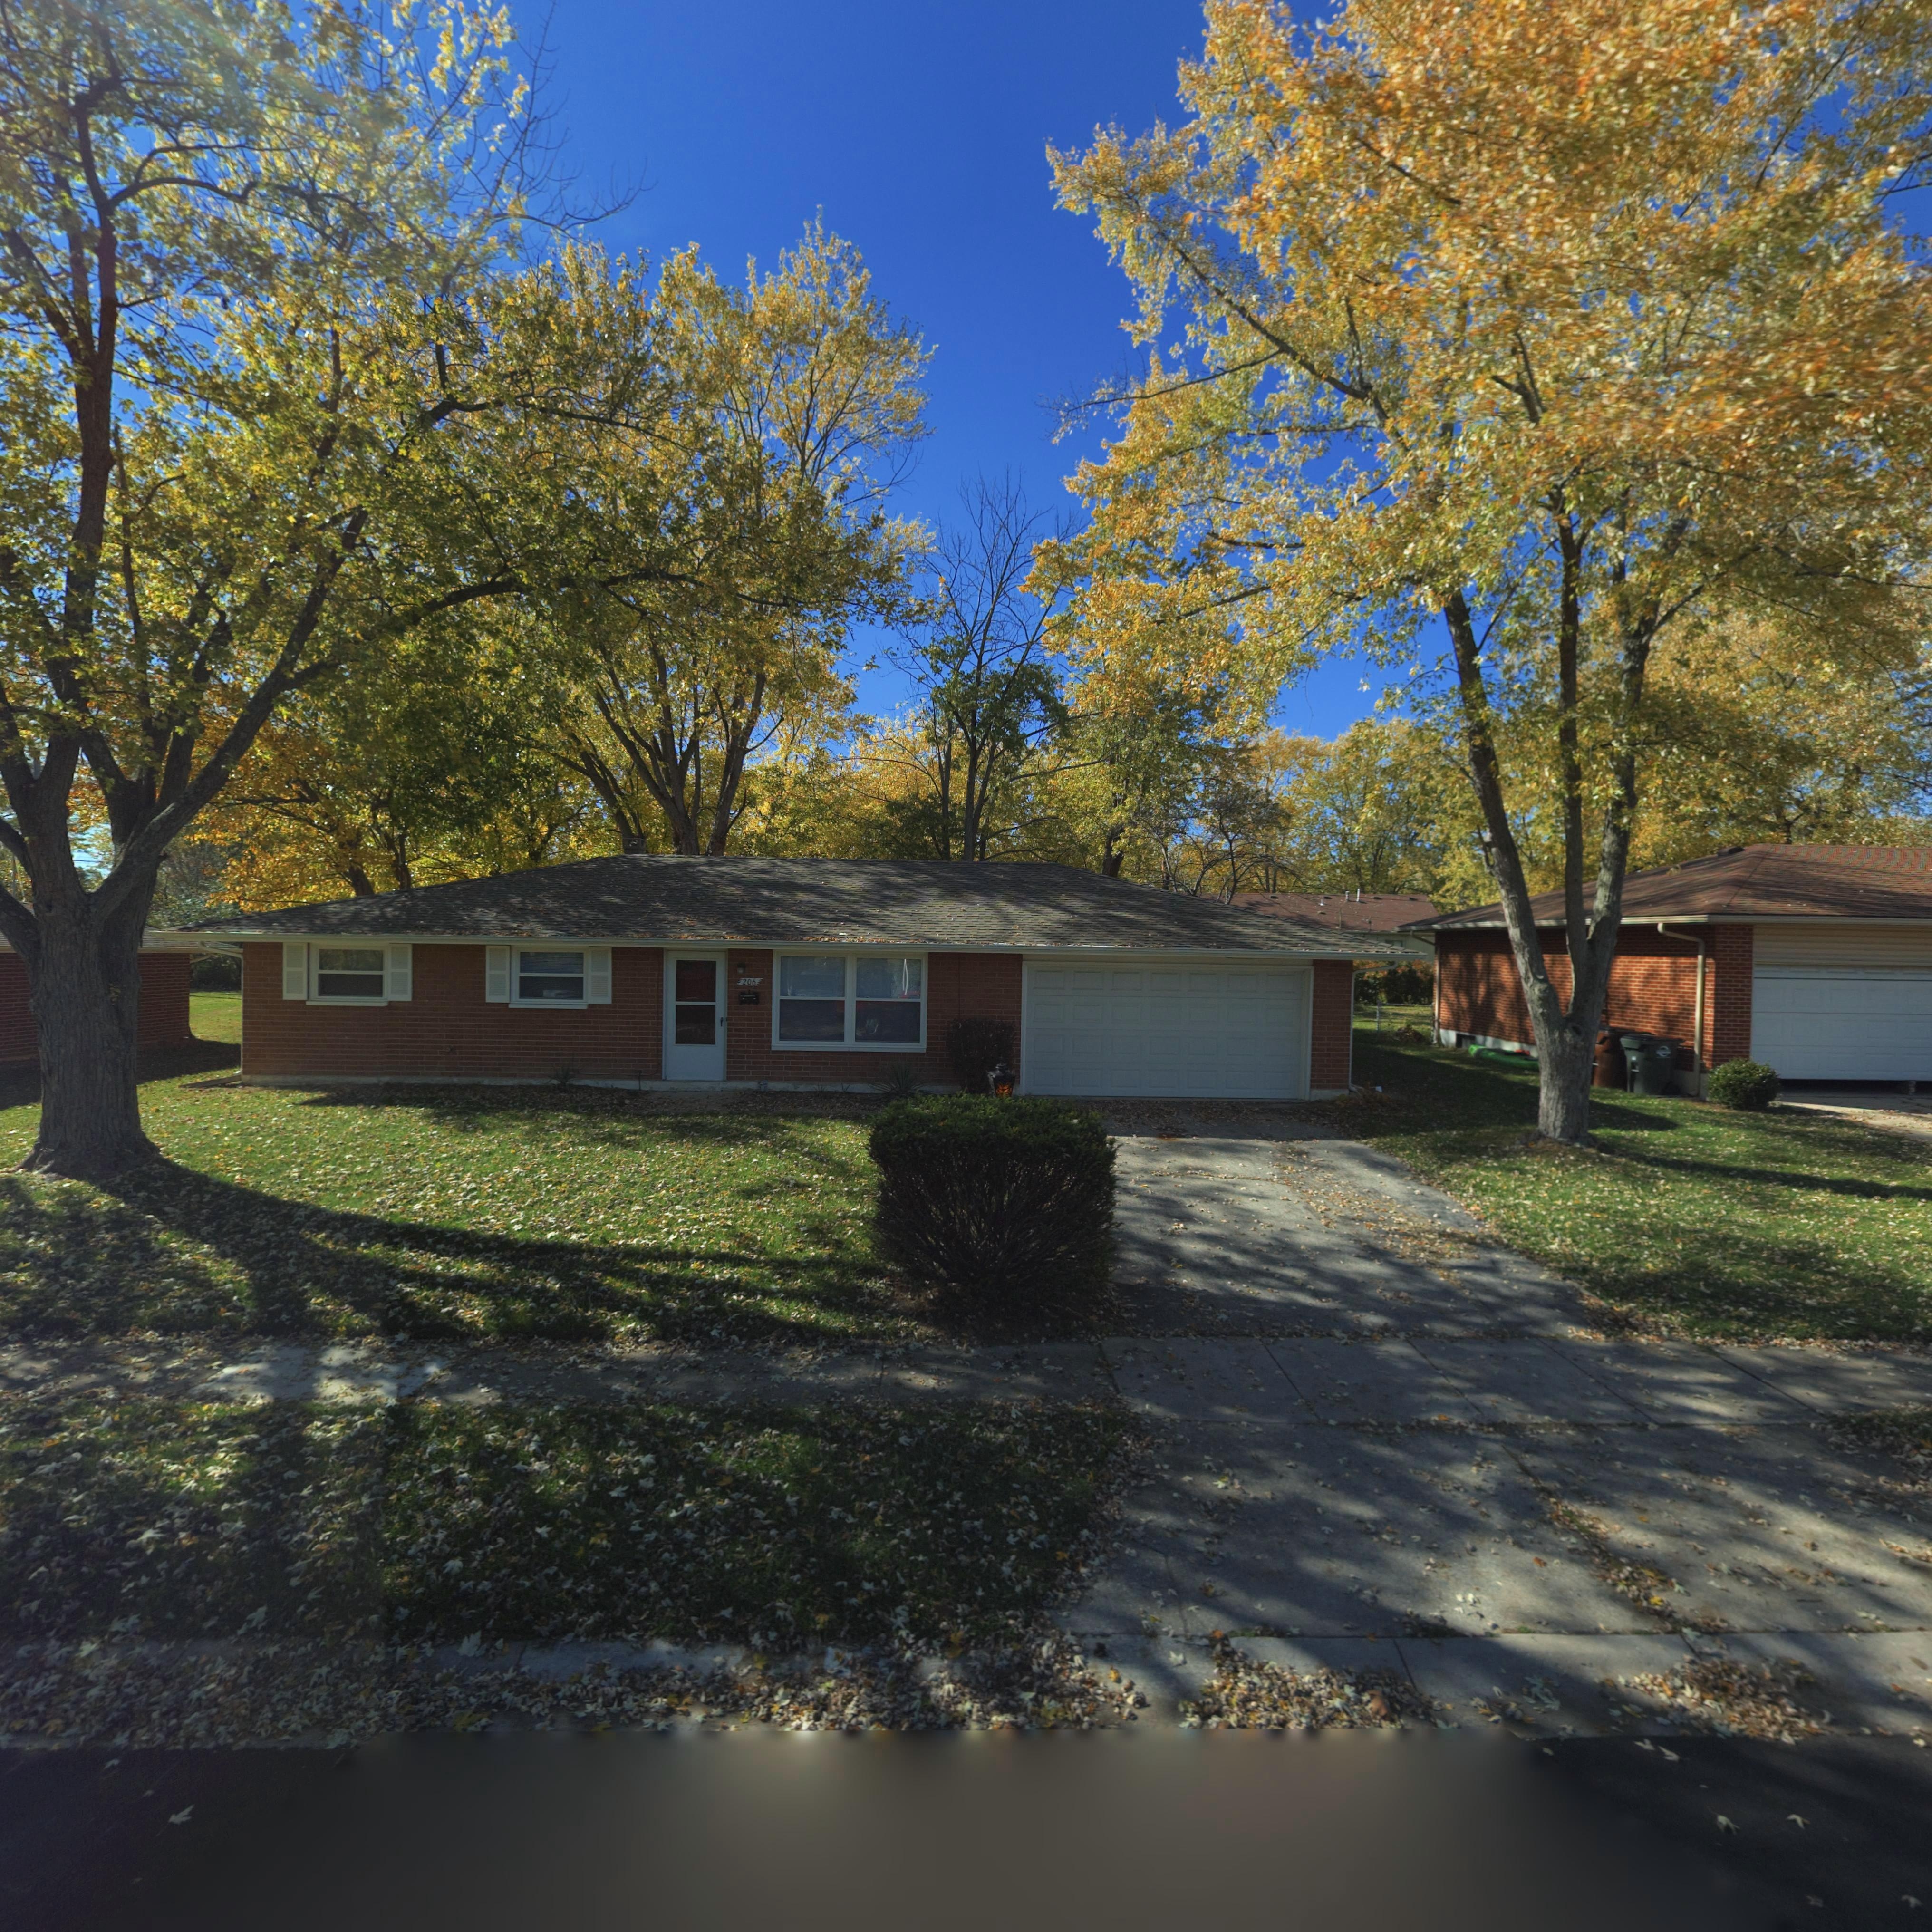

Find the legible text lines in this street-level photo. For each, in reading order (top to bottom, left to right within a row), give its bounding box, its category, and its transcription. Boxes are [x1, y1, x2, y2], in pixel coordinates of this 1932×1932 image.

[742, 978, 756, 985] StreetNumber: 206